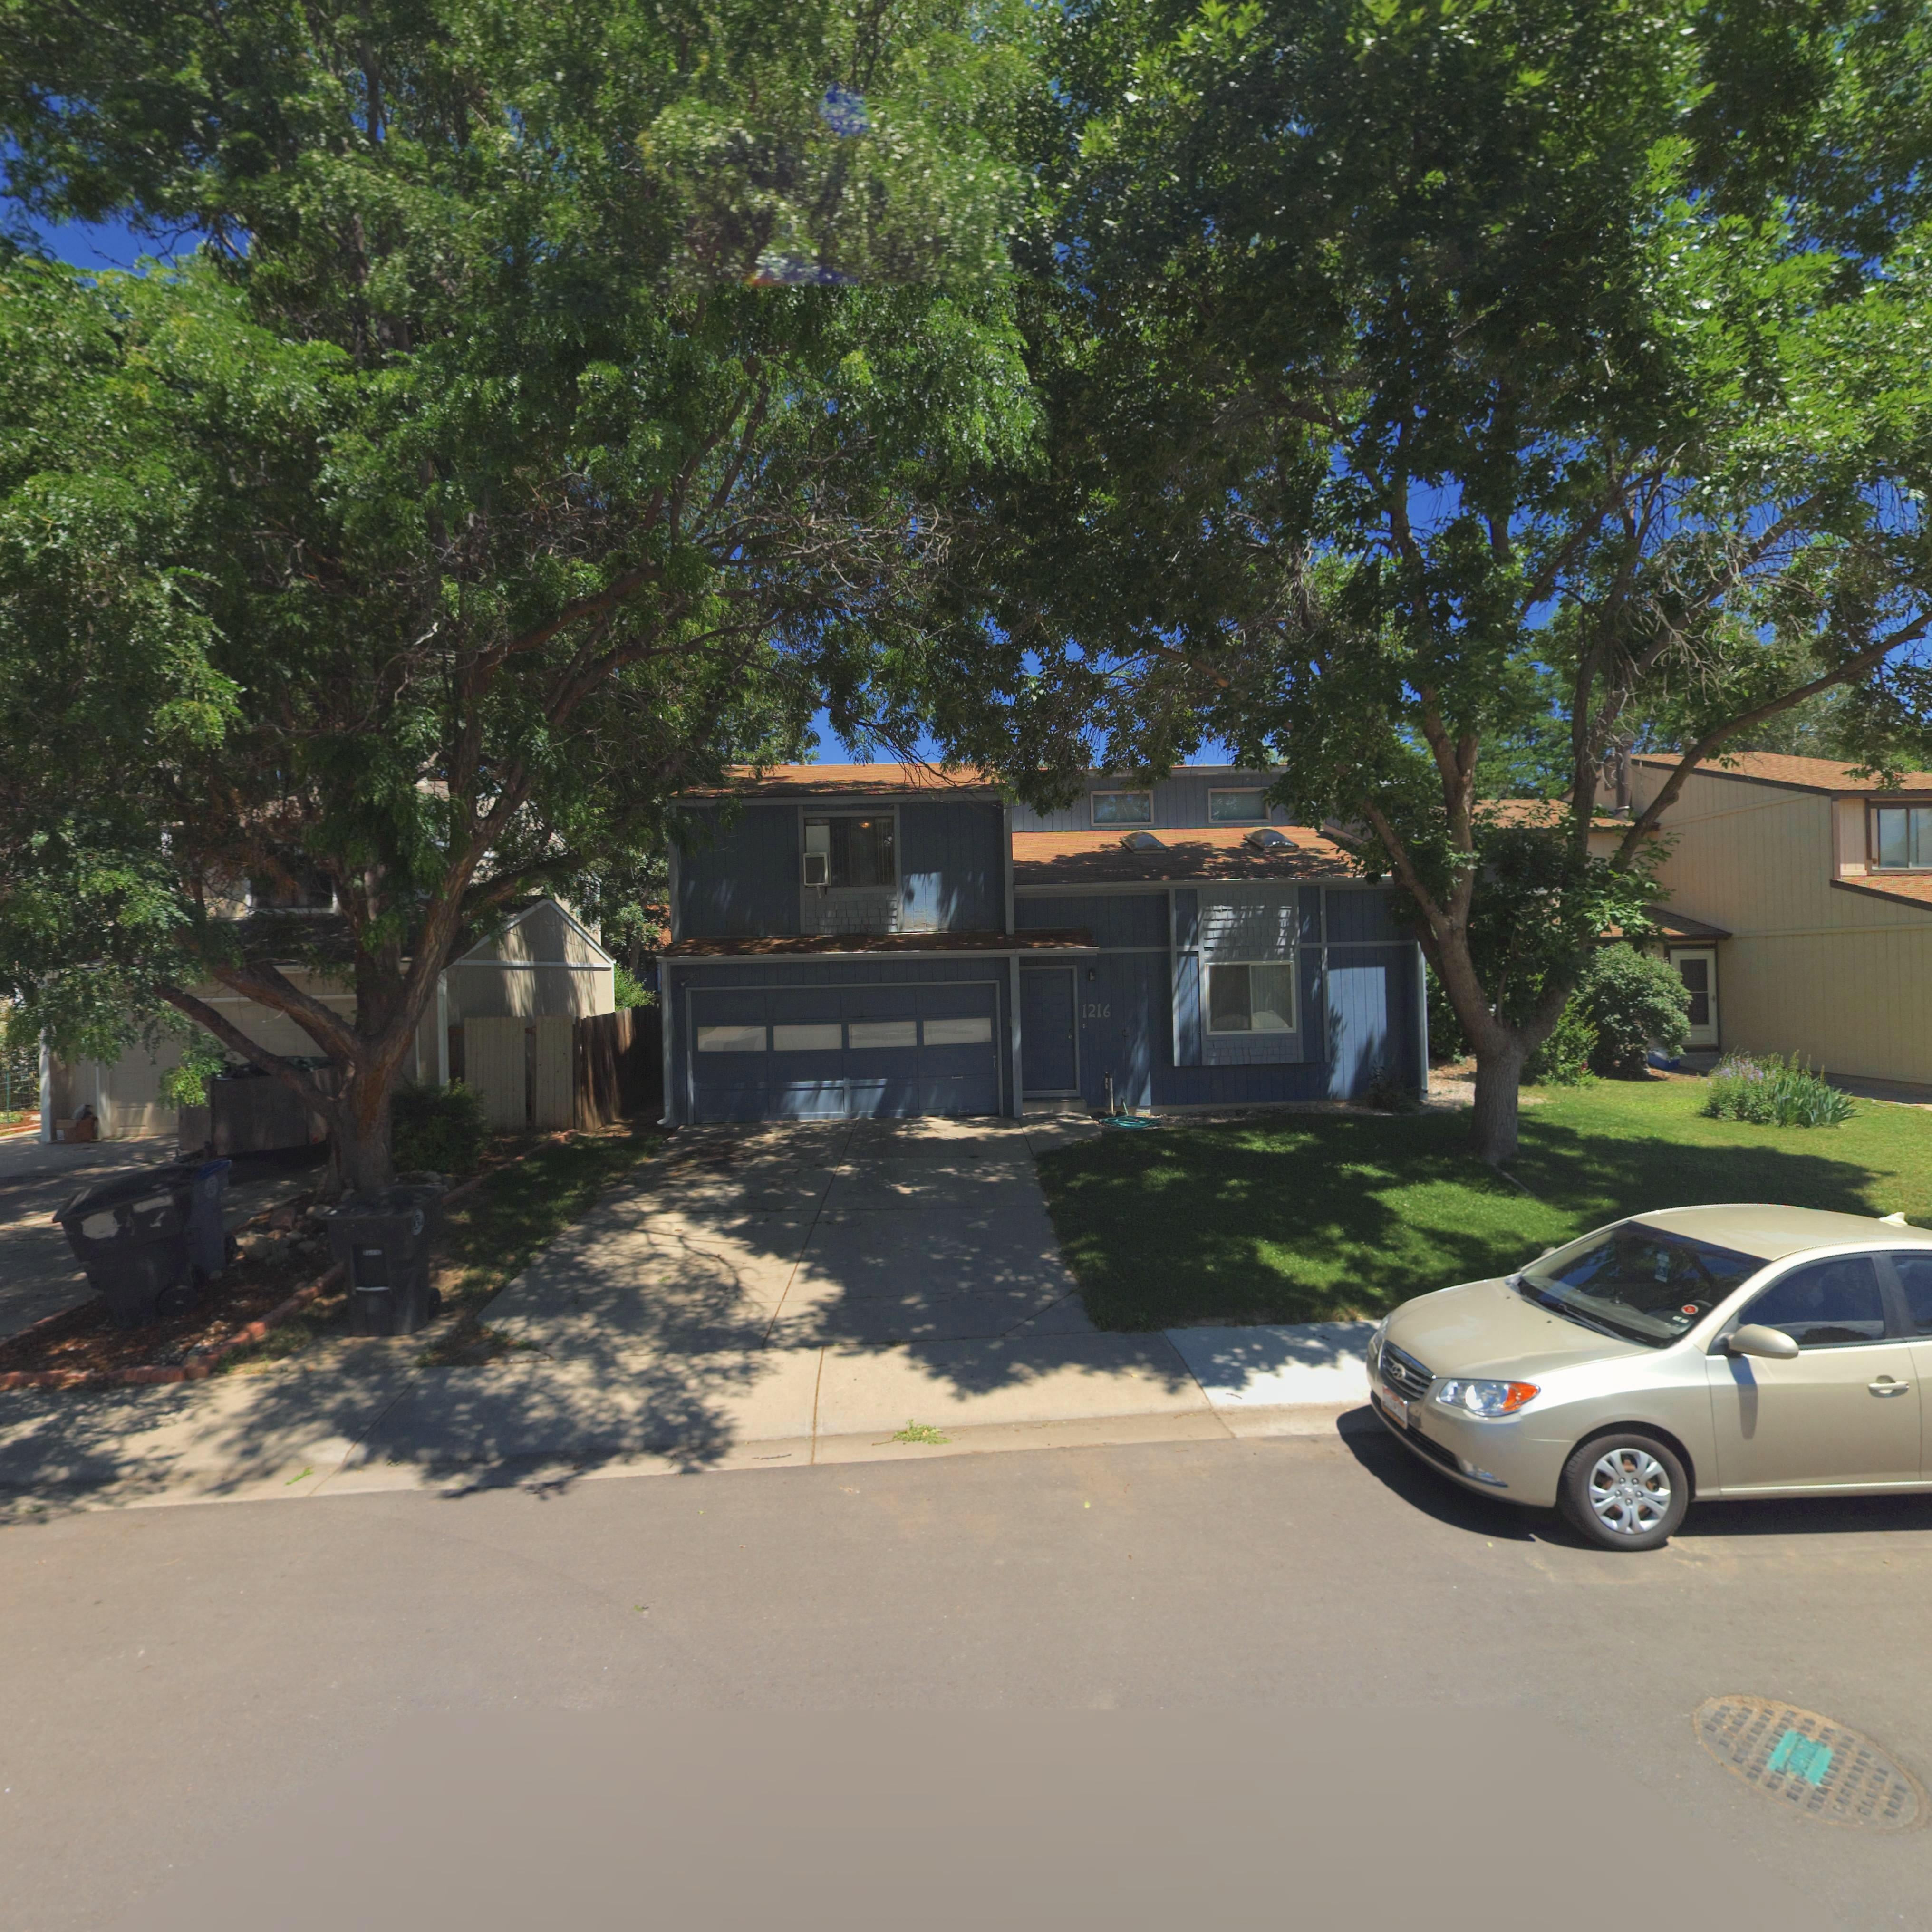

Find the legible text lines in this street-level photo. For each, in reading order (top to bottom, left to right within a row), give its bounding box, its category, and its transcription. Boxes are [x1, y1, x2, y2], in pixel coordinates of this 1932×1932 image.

[1081, 1003, 1111, 1018] StreetNumber: 1216